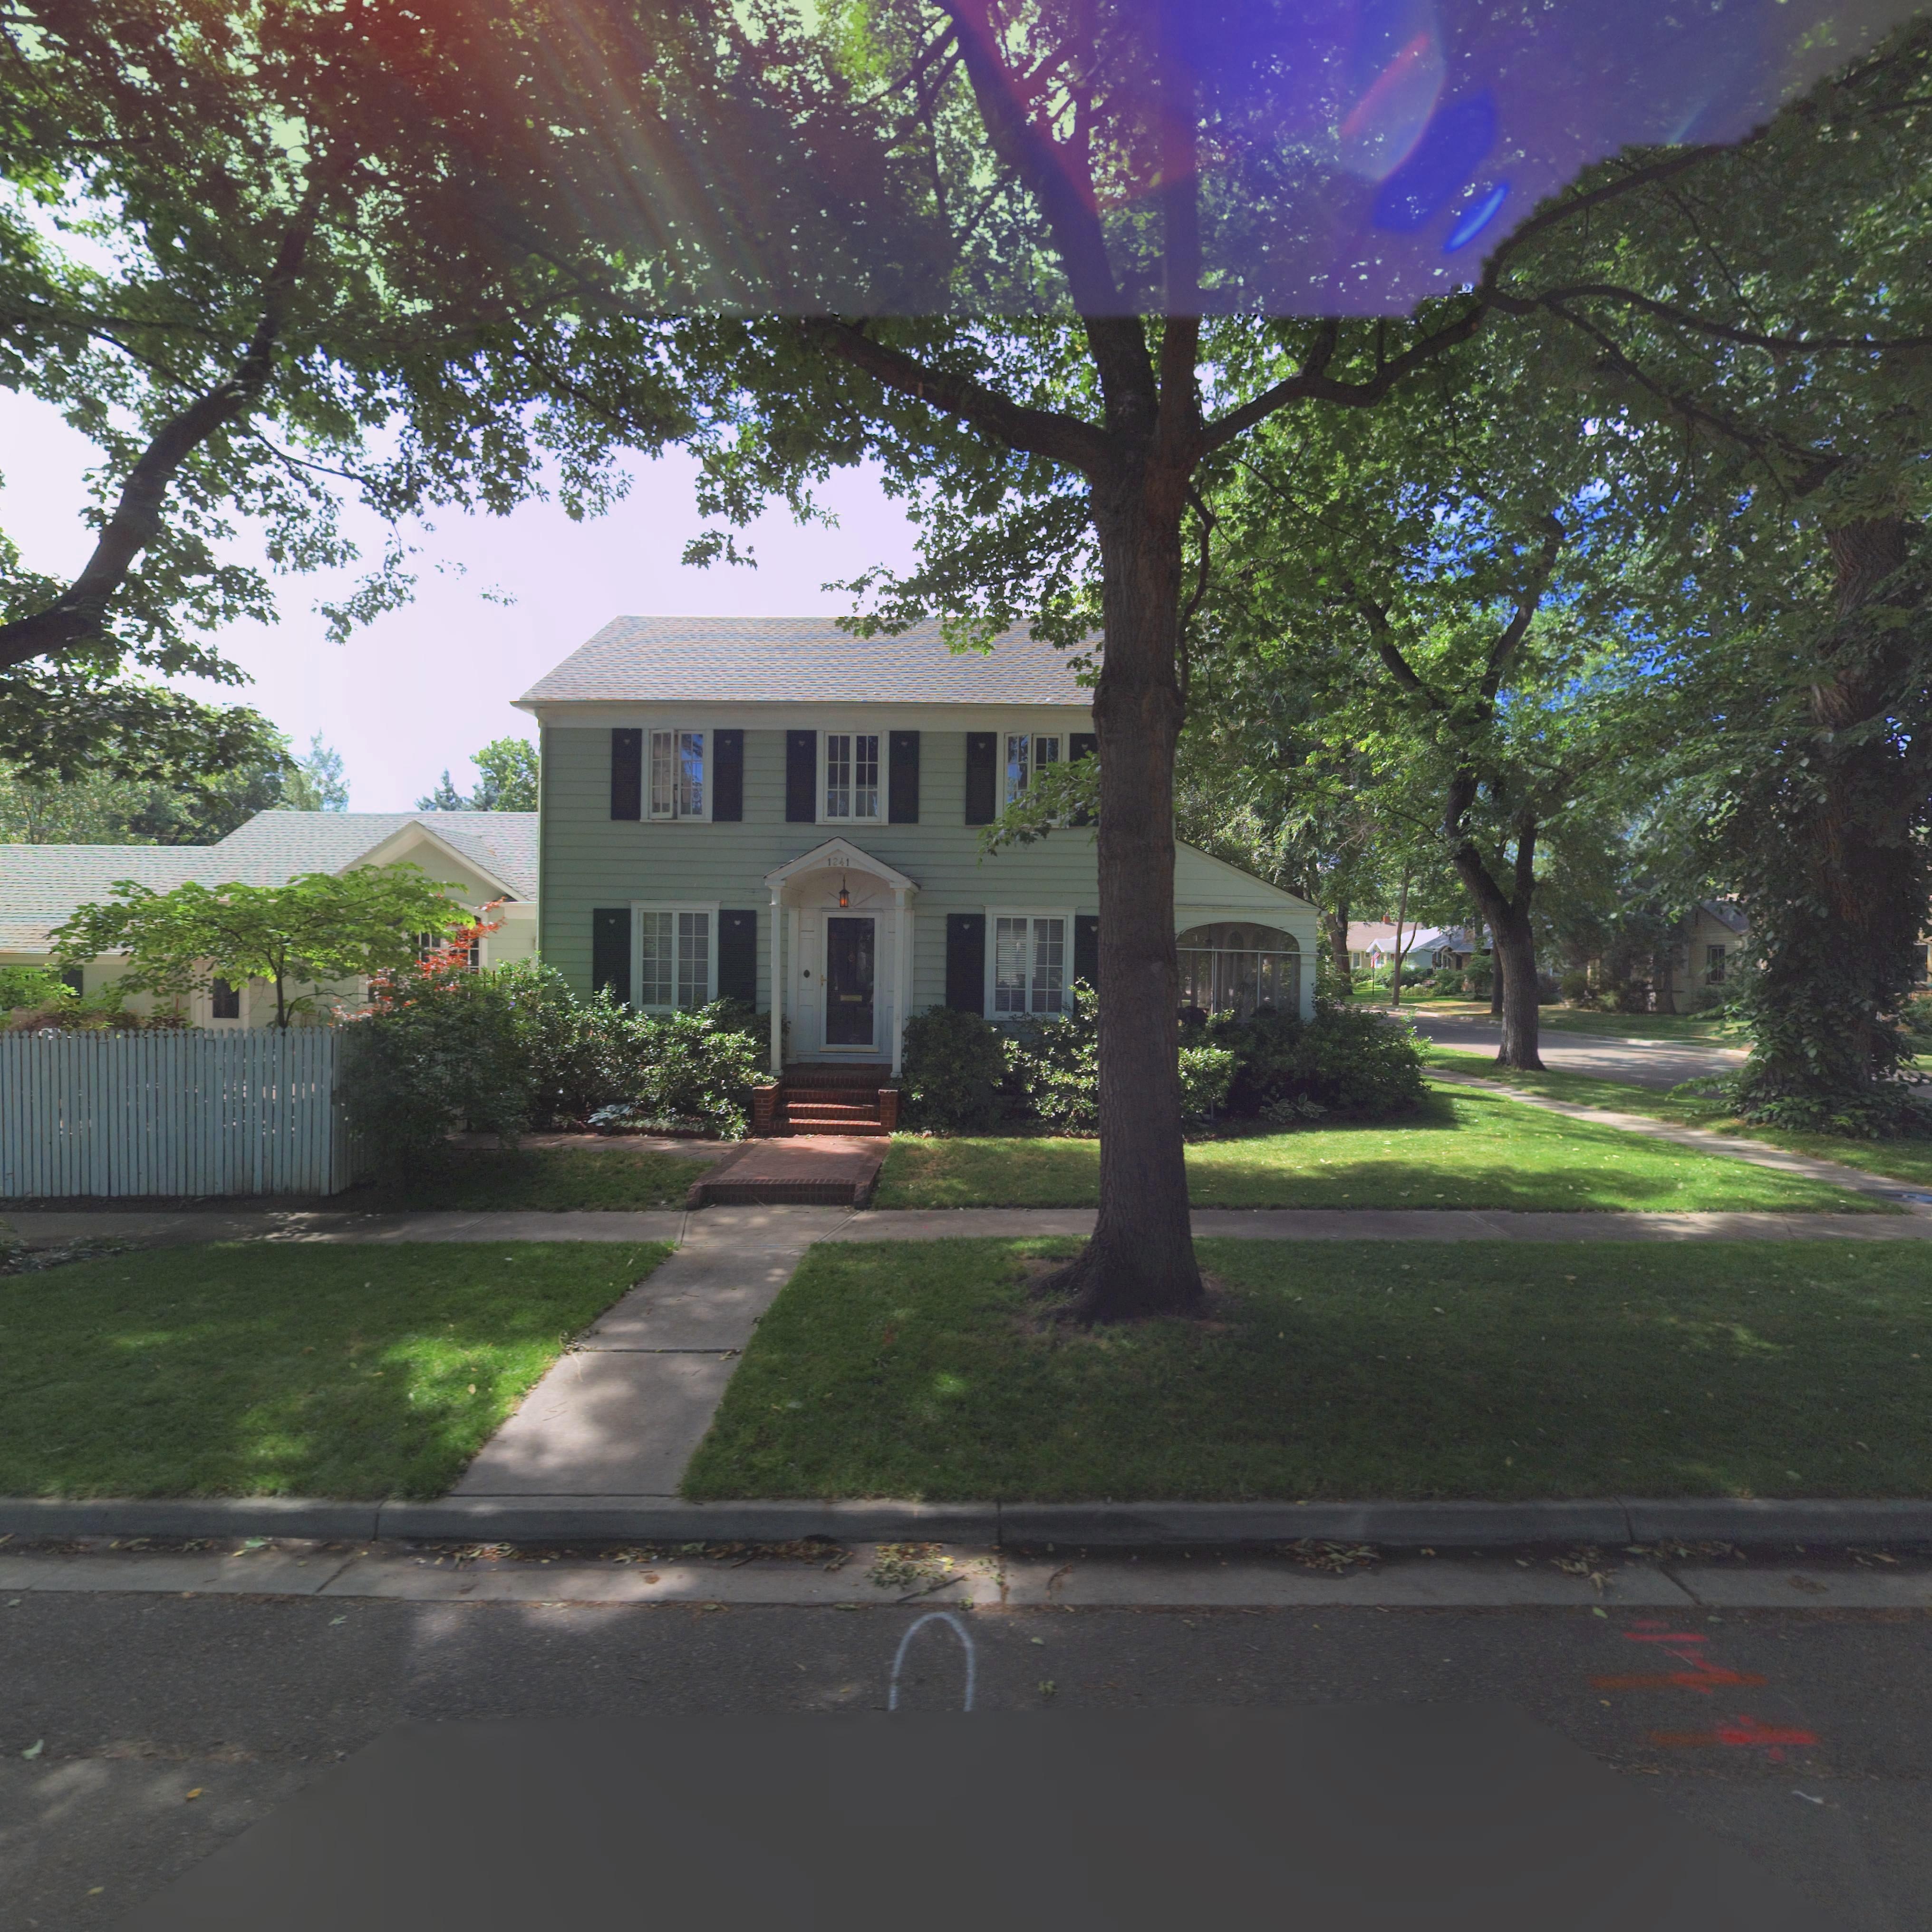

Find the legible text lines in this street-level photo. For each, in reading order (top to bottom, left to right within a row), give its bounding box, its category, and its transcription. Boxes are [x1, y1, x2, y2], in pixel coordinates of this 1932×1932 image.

[828, 858, 849, 866] StreetNumber: 1241